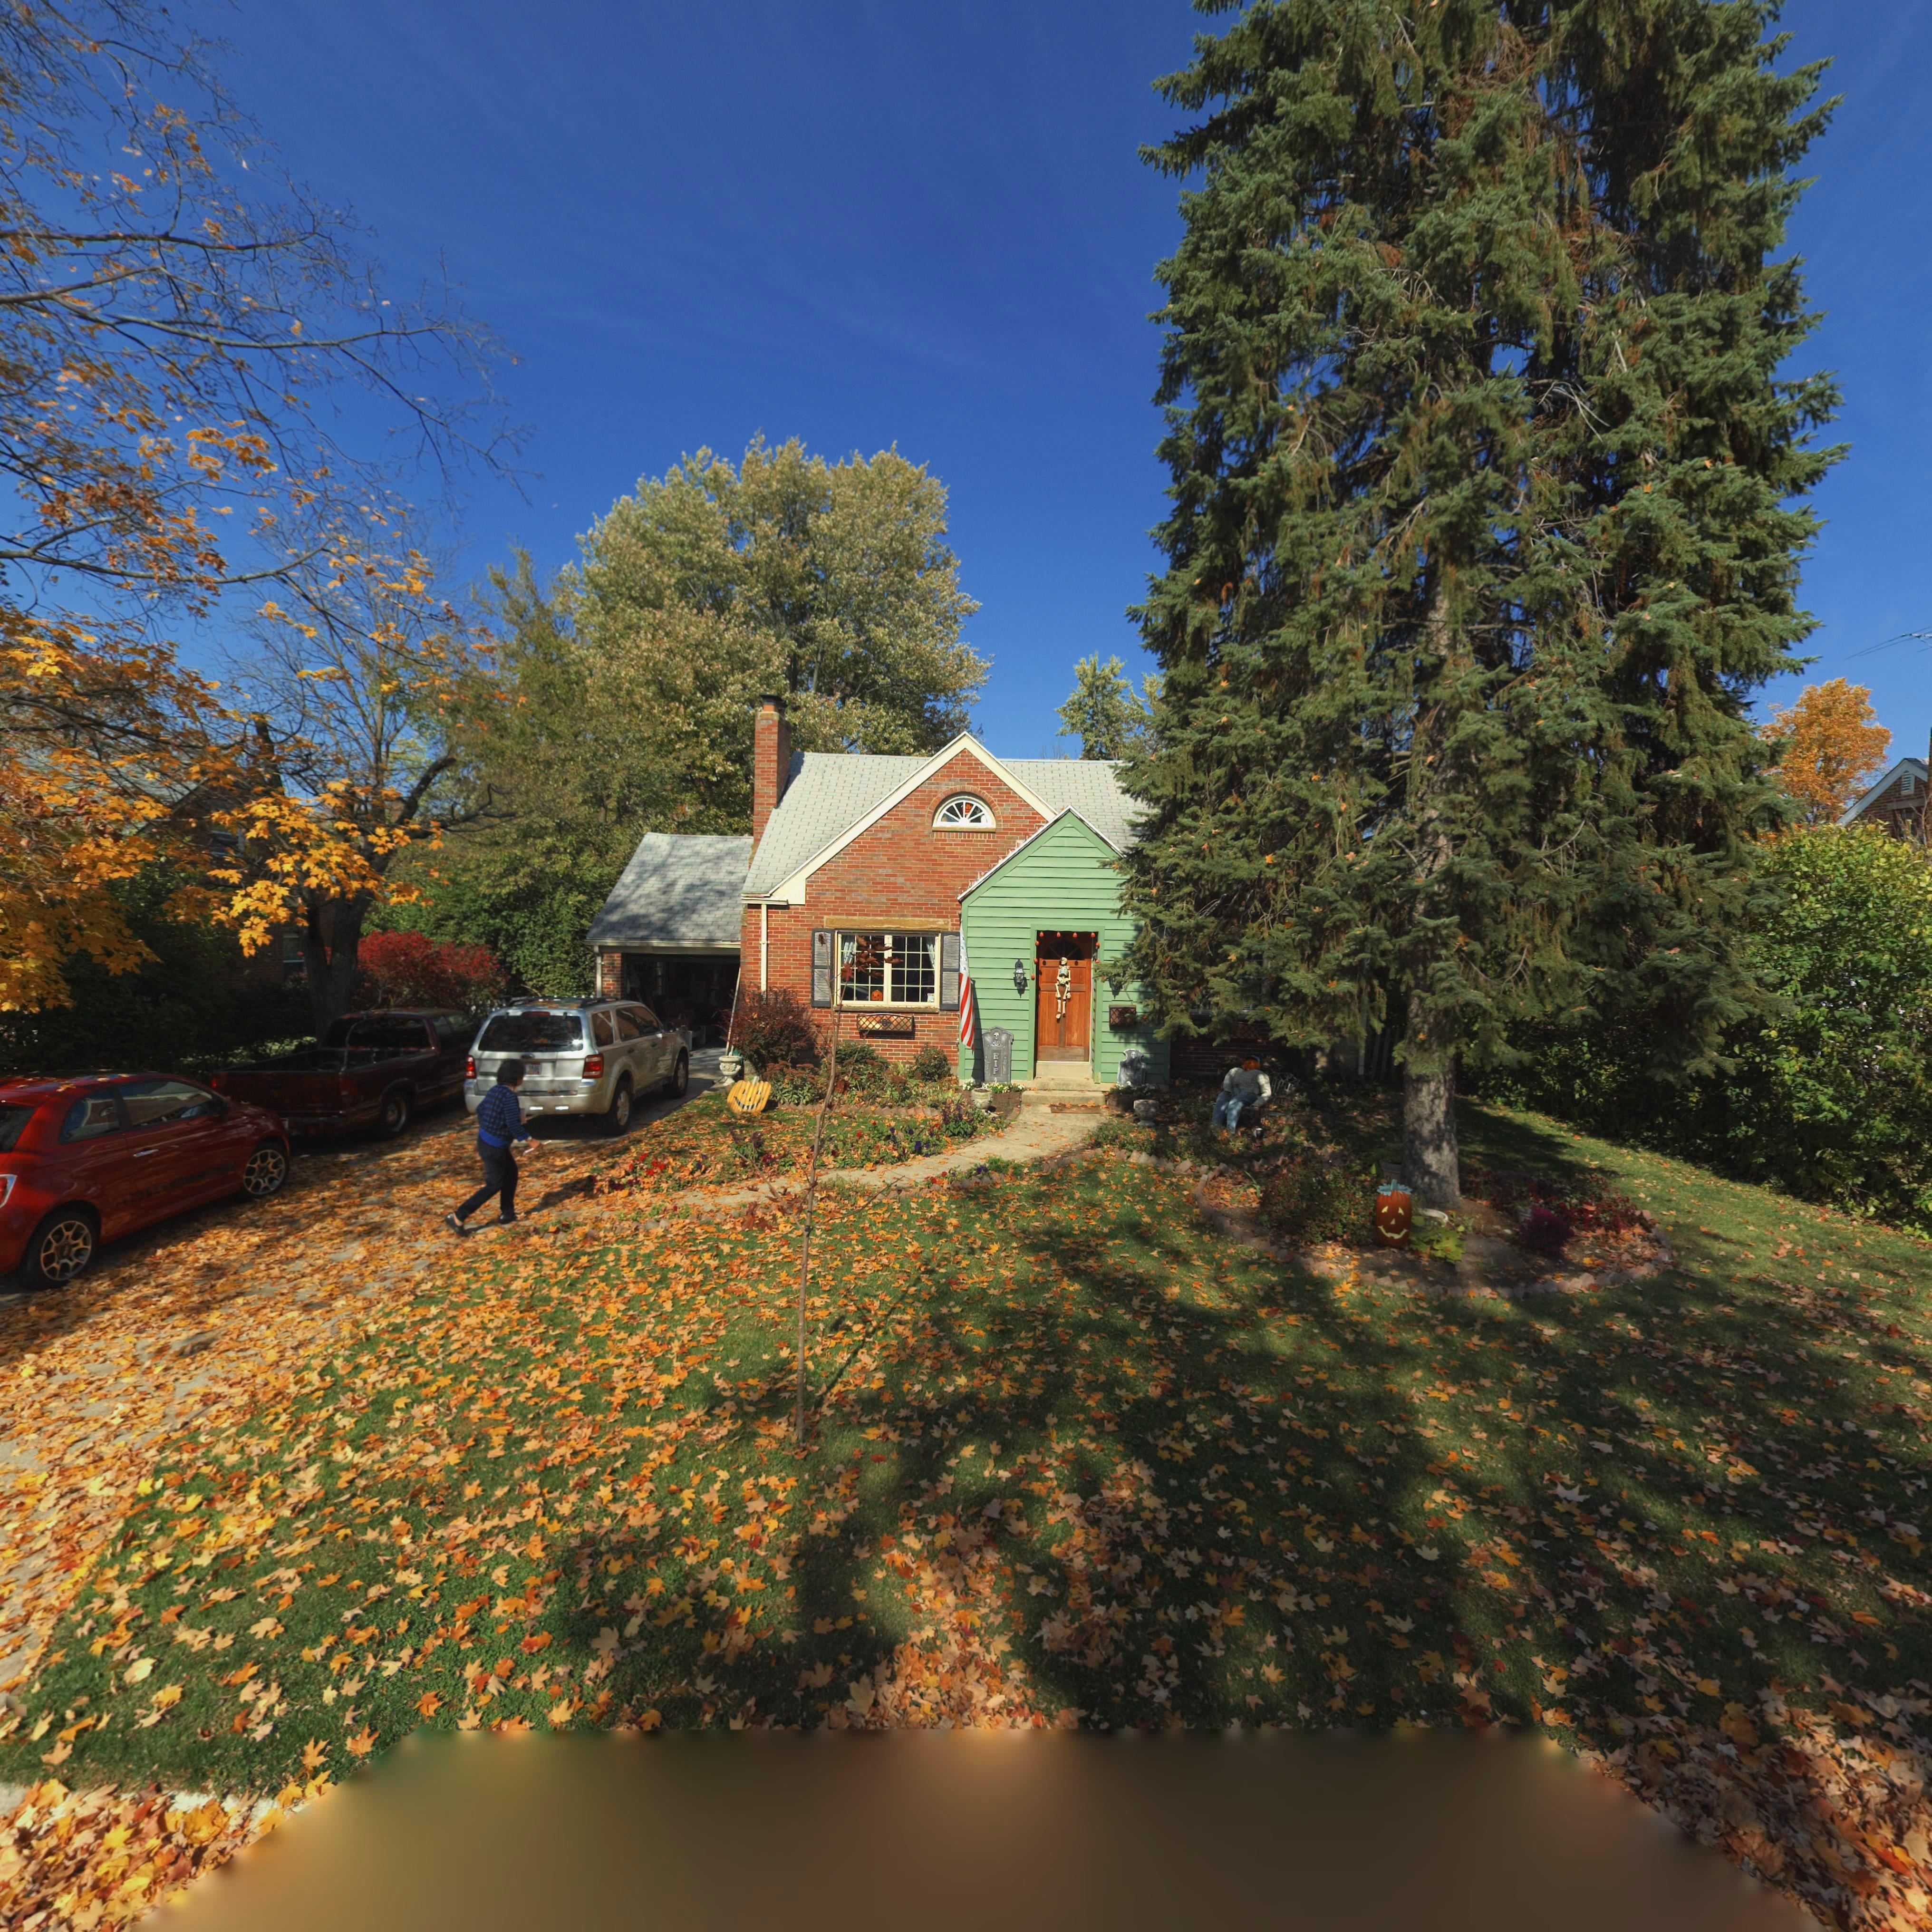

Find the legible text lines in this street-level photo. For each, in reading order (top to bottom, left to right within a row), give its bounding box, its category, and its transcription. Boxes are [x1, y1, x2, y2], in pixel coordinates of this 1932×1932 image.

[528, 1065, 540, 1072] None: 3*46
[993, 1052, 1000, 1075] None: RIP